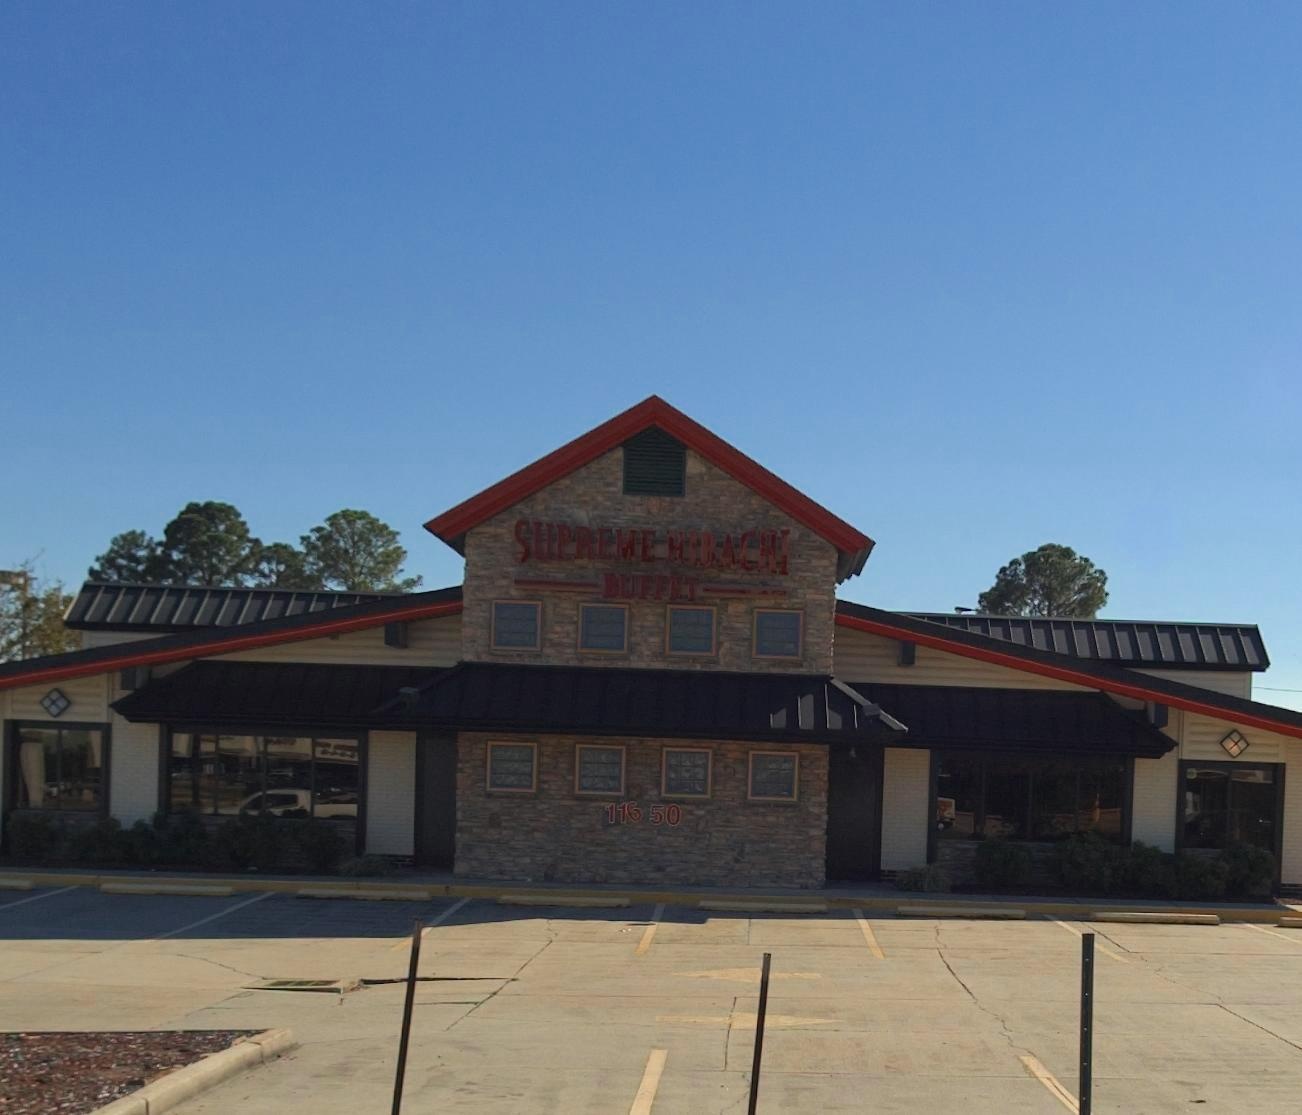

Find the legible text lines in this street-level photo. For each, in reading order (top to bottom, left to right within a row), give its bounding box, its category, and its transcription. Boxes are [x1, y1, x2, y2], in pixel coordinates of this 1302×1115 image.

[508, 515, 793, 579] BusinessName: SUPREME HIBACHI
[600, 569, 701, 604] BusinessName: BUFFET
[602, 798, 686, 830] StreetNumber: 11650